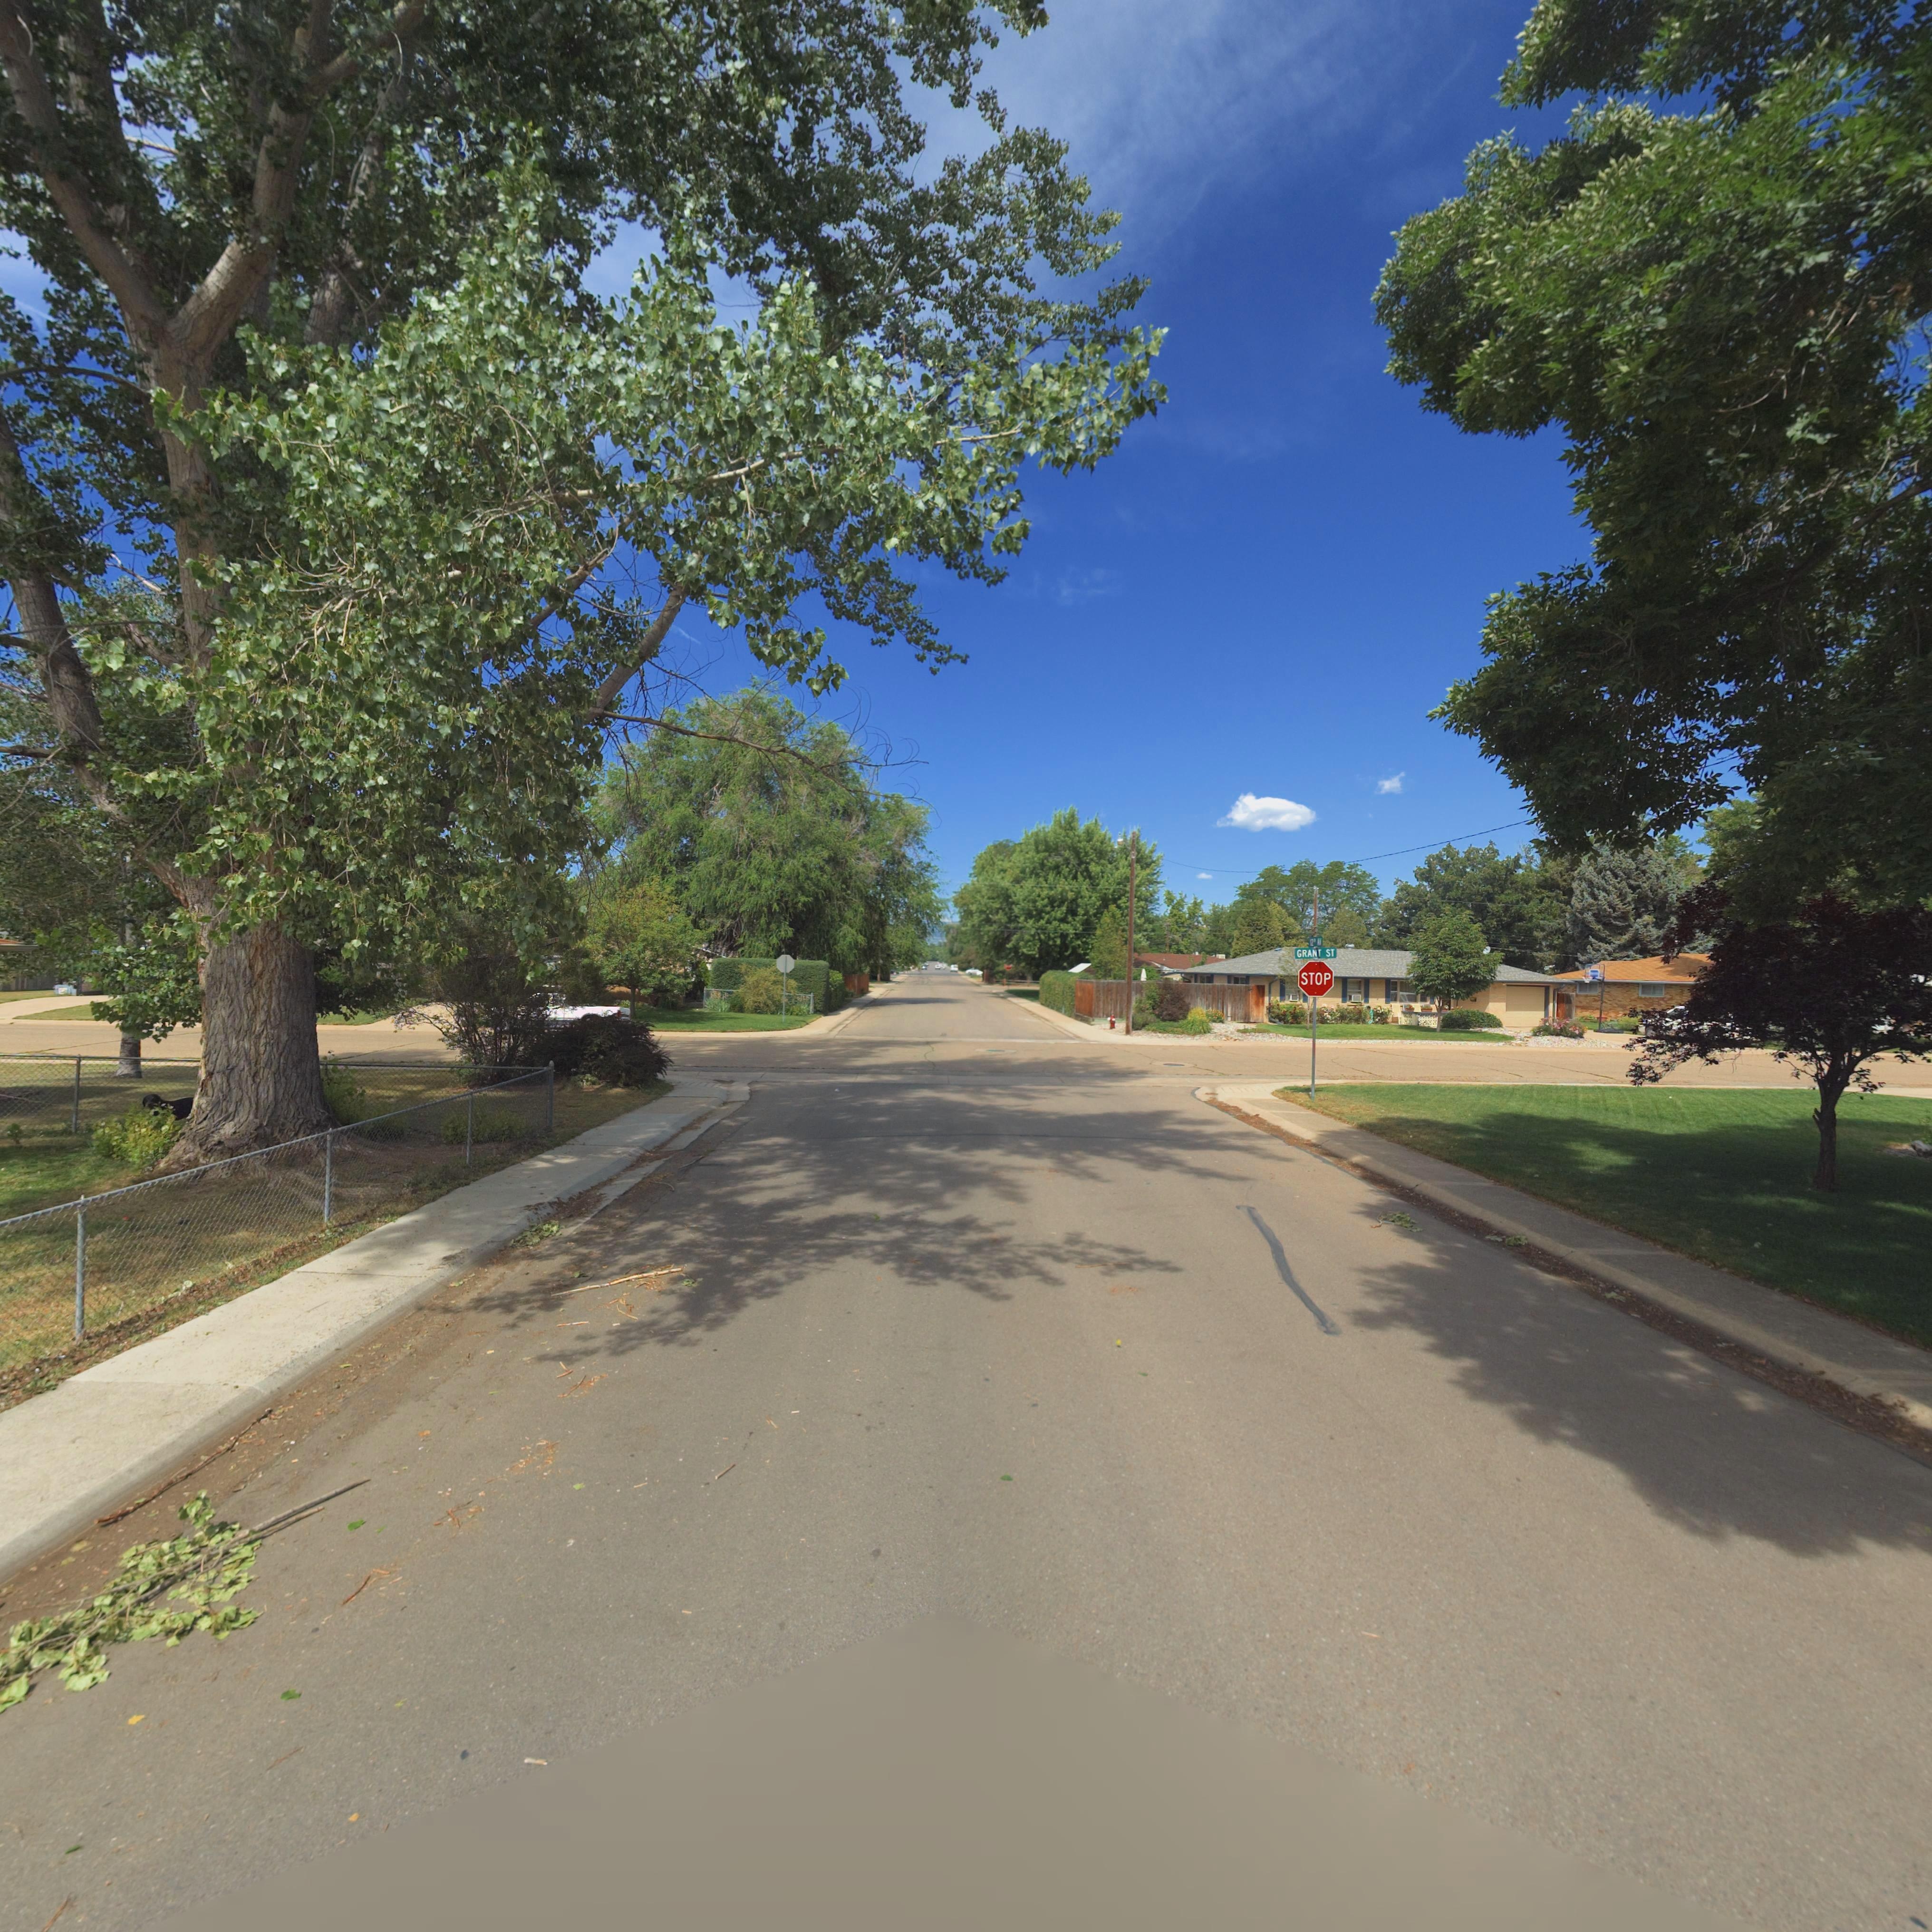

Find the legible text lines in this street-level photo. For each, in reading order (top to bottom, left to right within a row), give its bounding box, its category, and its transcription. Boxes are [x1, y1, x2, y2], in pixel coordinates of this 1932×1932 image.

[1310, 937, 1321, 946] StreetName: 12* **
[1296, 949, 1335, 957] StreetName: GRANT ST